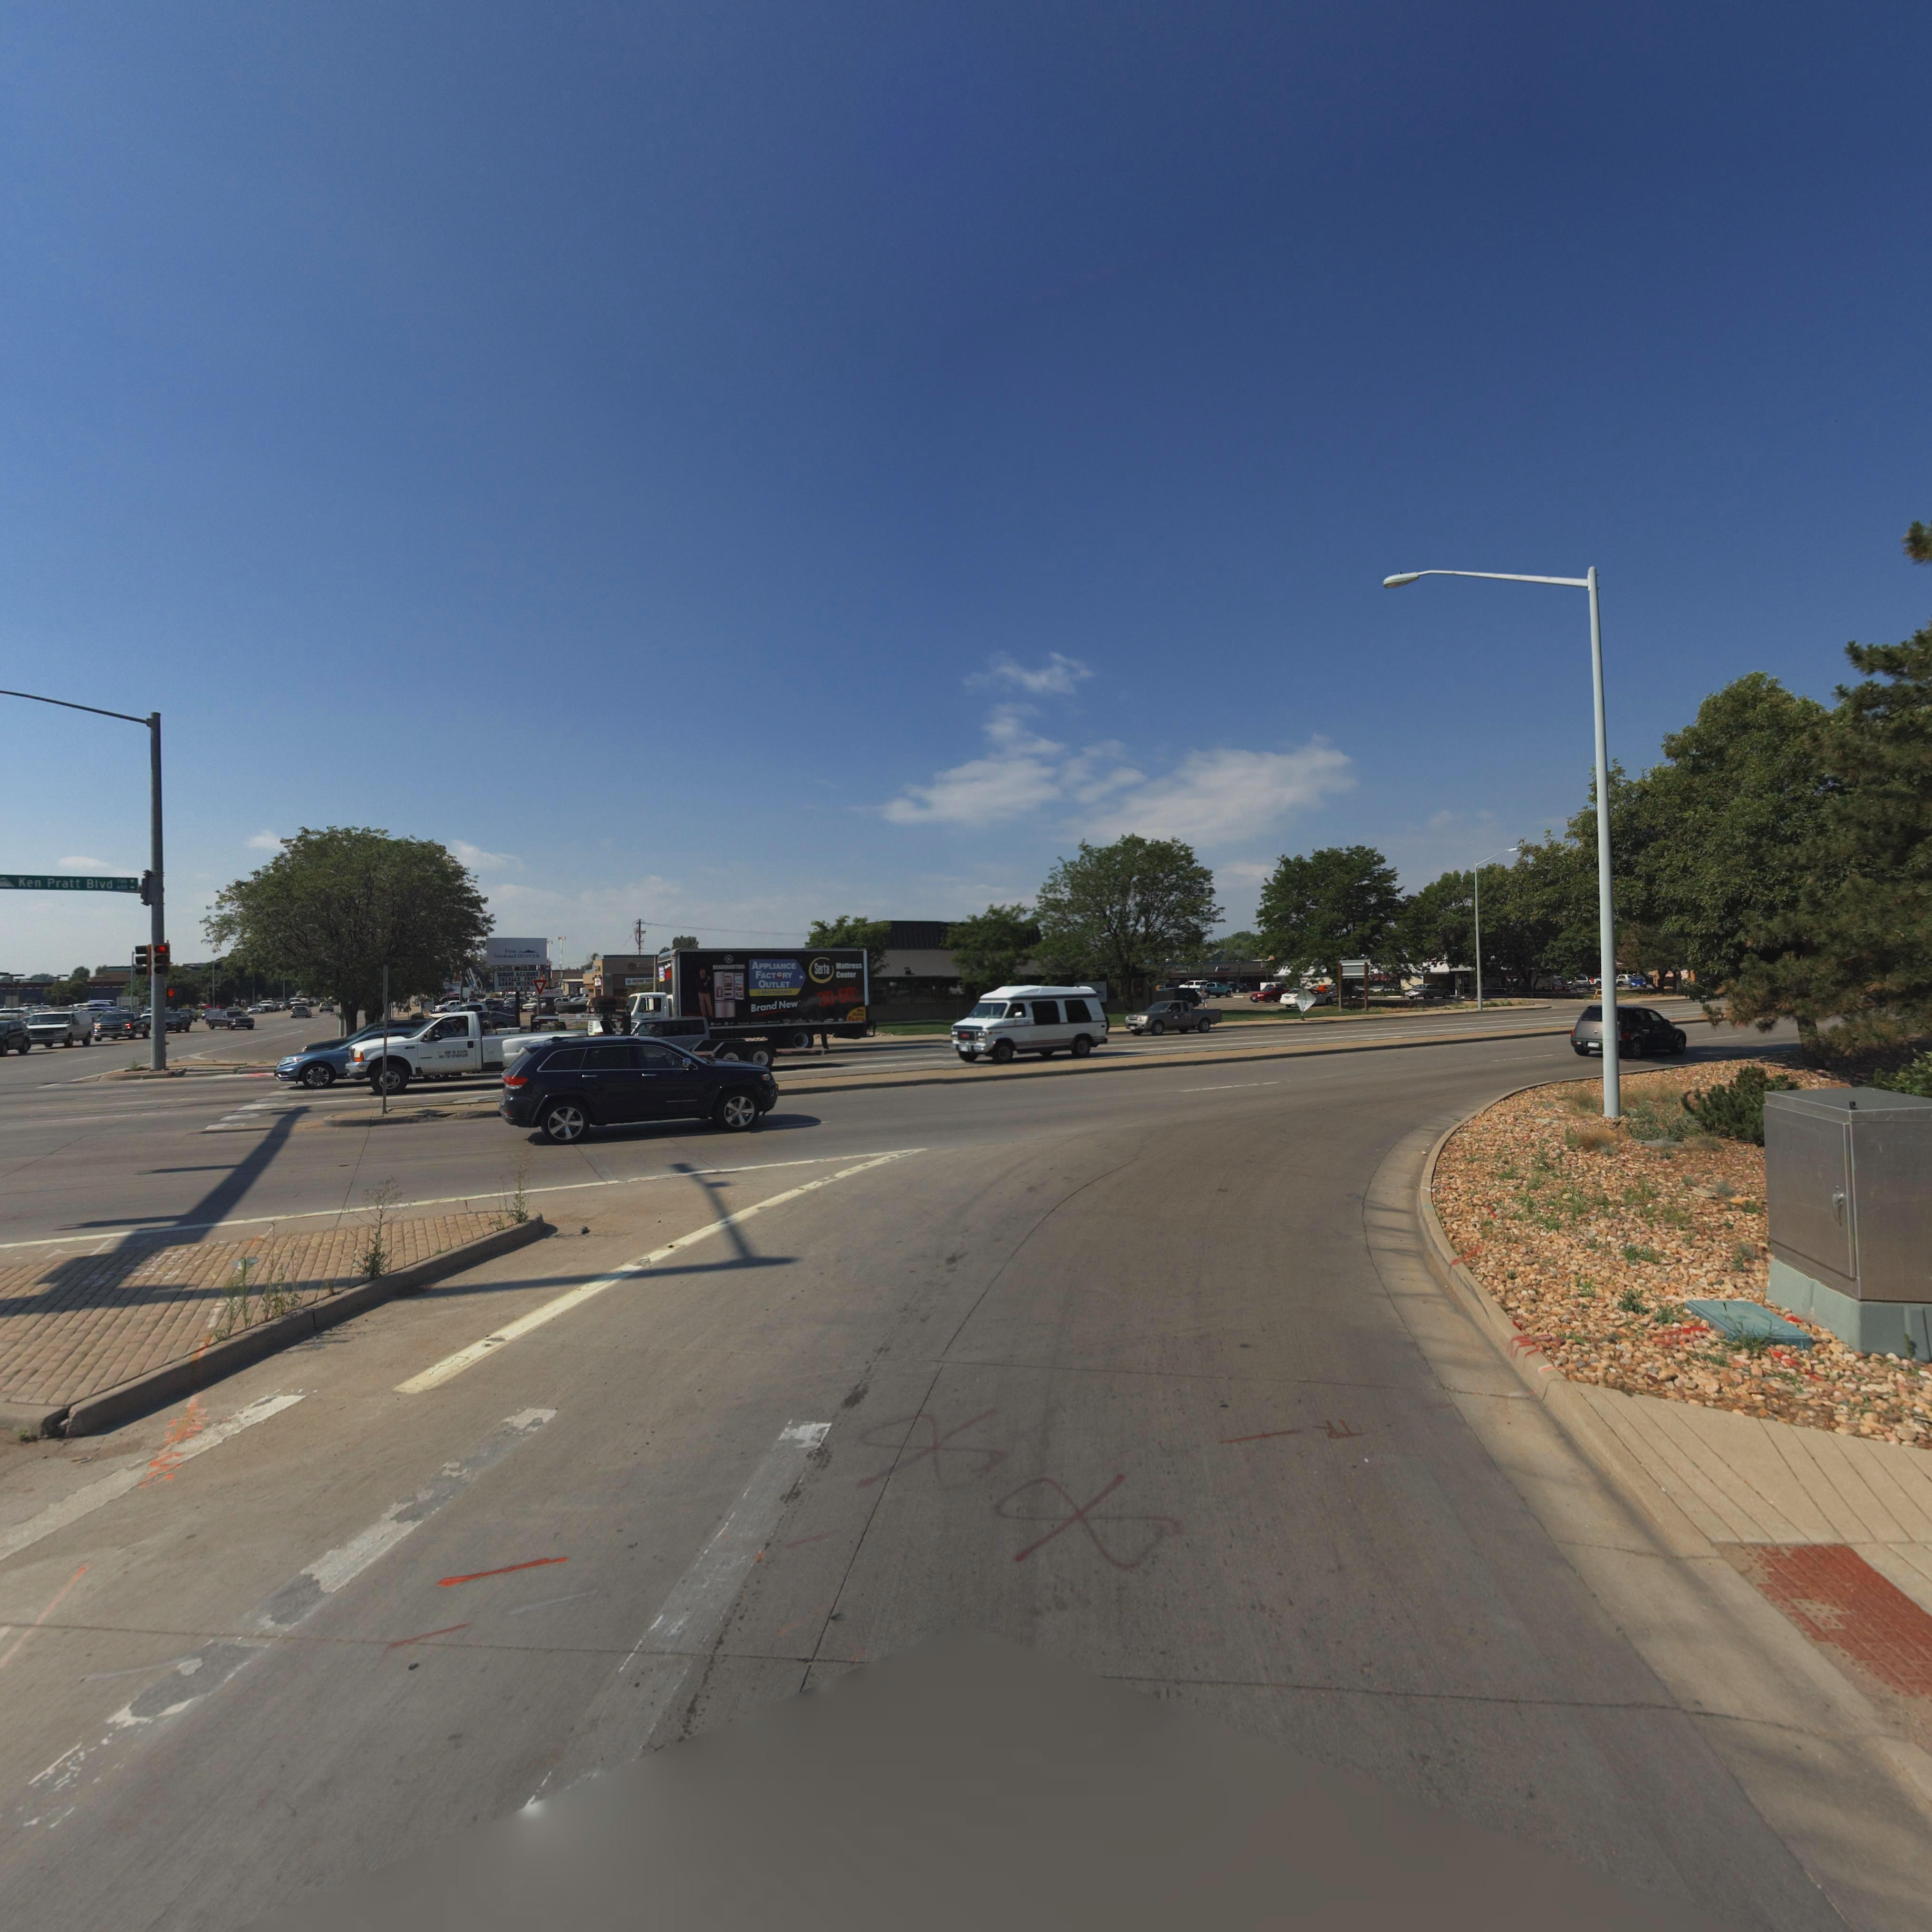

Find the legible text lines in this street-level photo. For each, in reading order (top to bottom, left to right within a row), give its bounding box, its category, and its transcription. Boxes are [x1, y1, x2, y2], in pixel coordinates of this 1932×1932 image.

[18, 877, 112, 889] StreetName: Ken Pratt Blvd
[116, 878, 127, 884] StreetNumberRange: 700
[116, 884, 135, 889] StreetNumberRange: 600 ->
[504, 948, 516, 953] BusinessName: First
[493, 953, 540, 958] BusinessName: National DENVER
[1214, 966, 1230, 972] BusinessName: Allstate